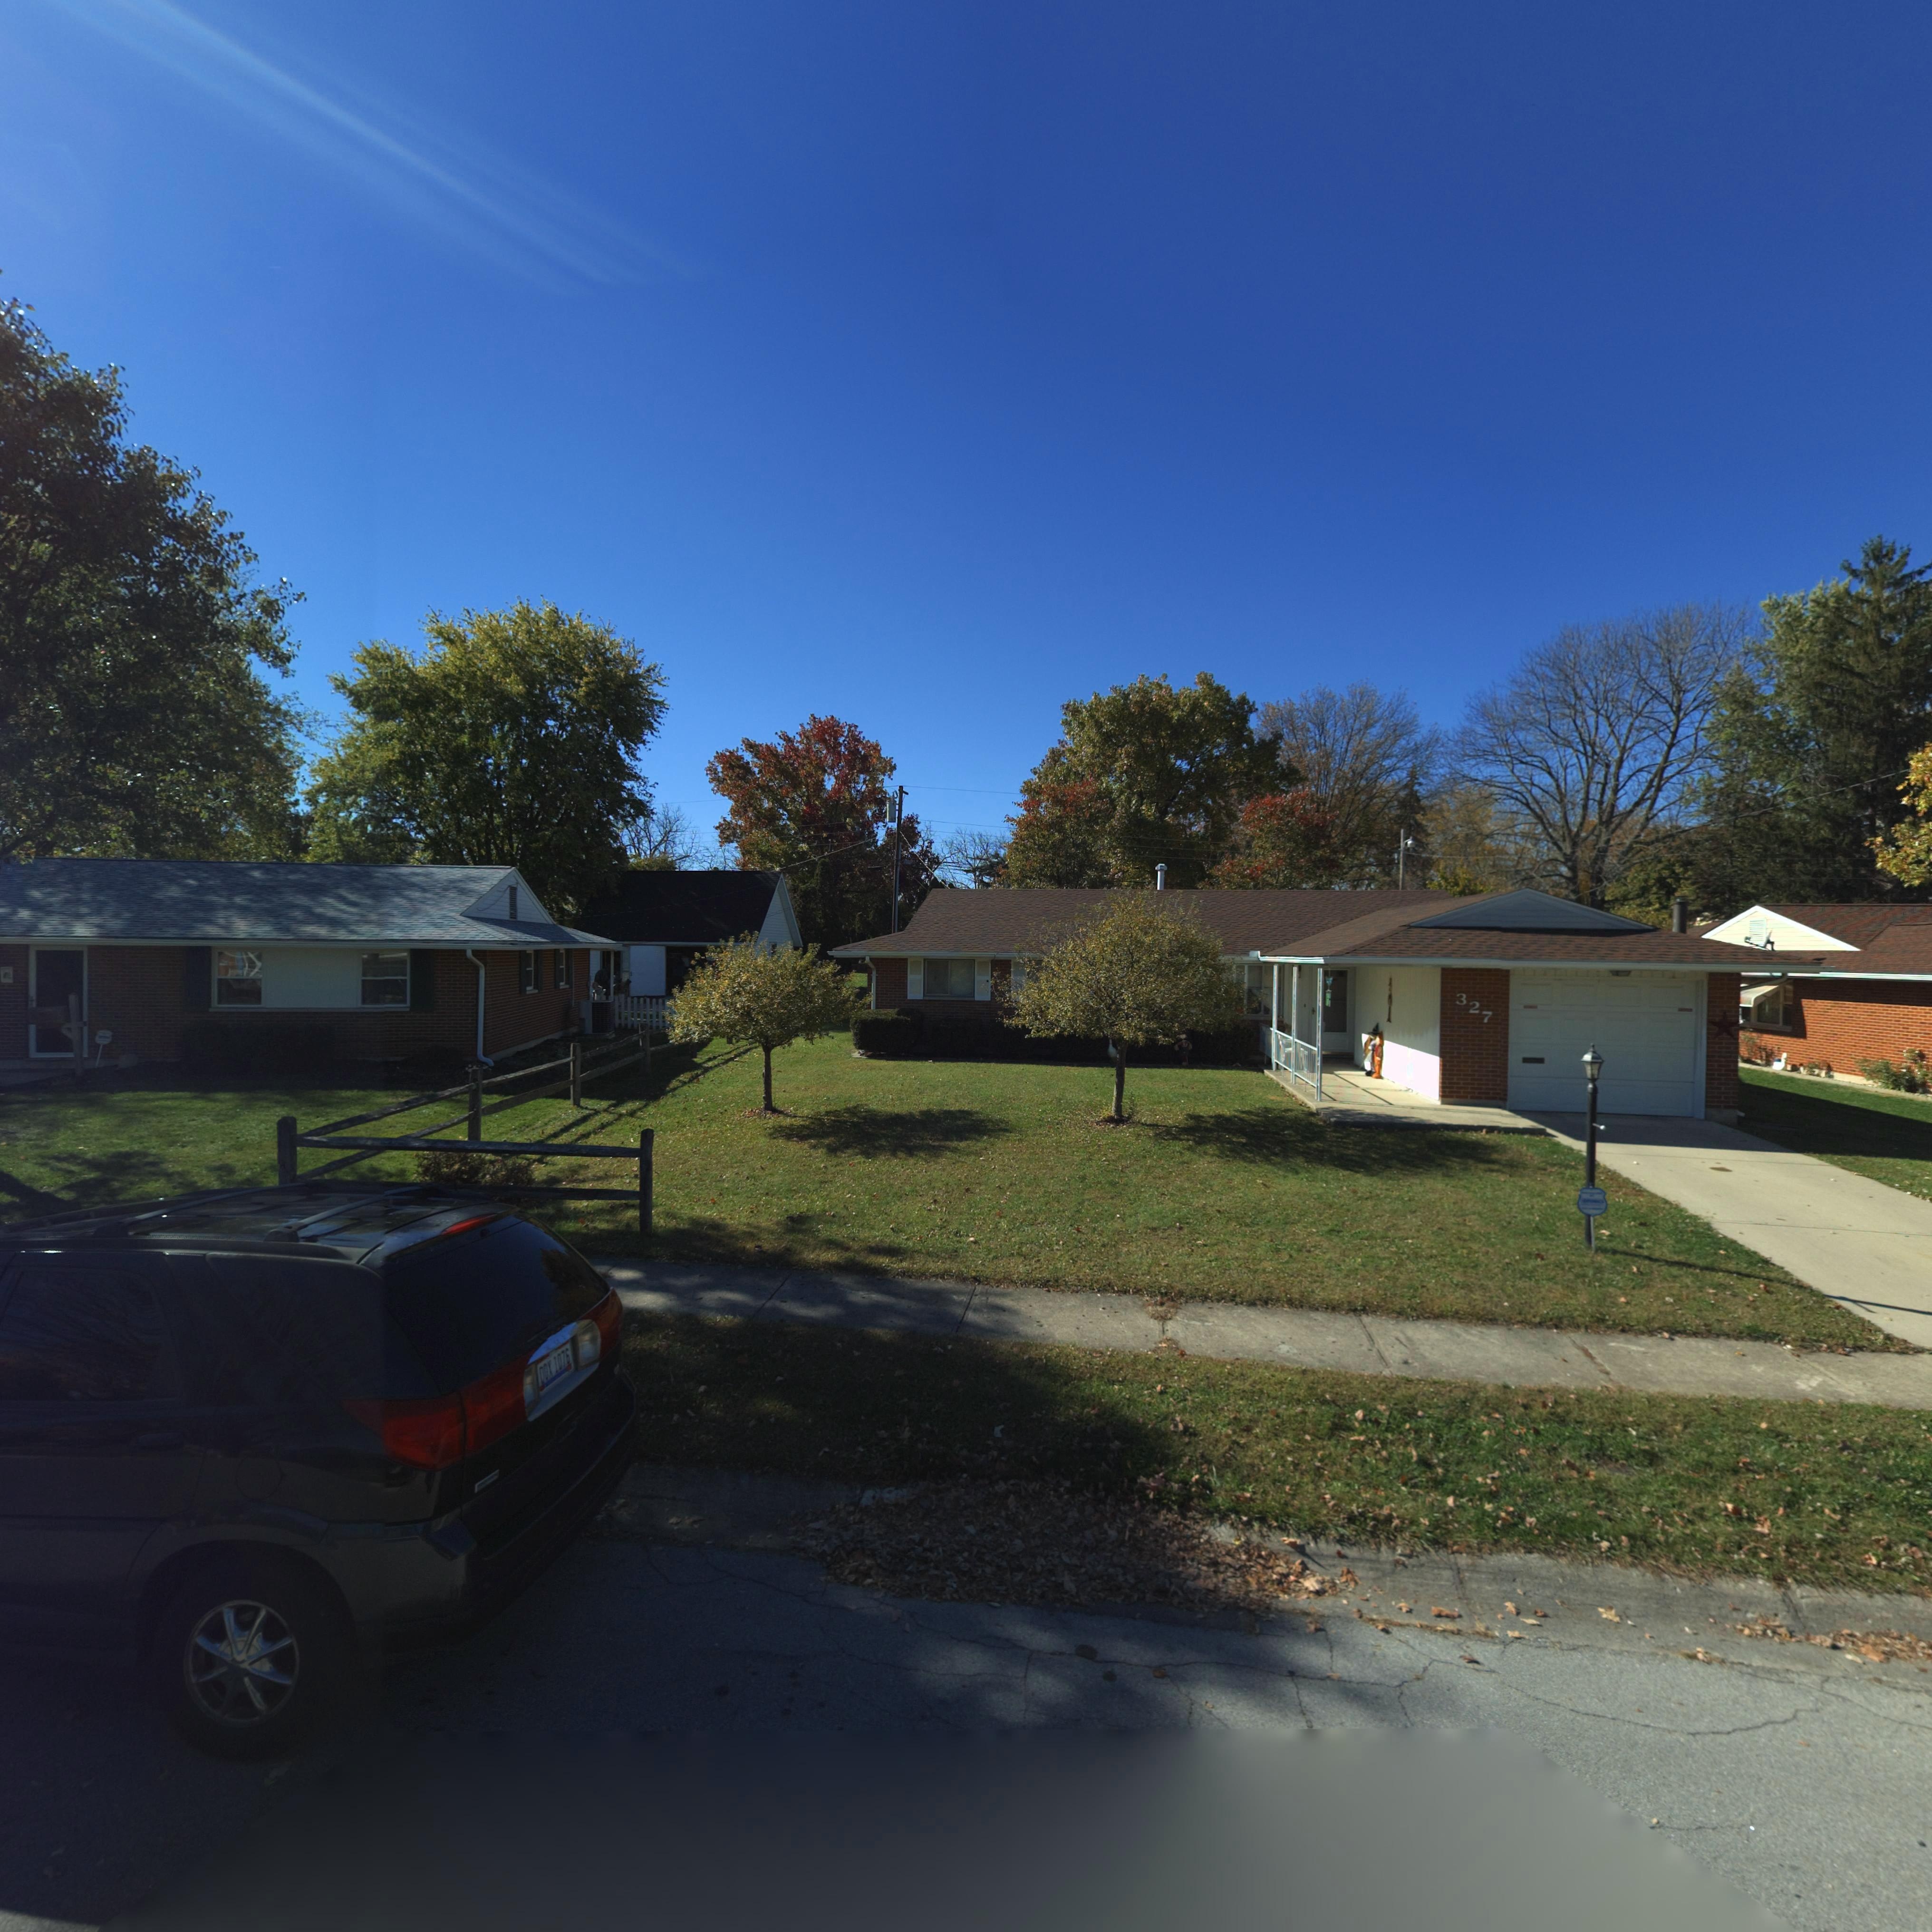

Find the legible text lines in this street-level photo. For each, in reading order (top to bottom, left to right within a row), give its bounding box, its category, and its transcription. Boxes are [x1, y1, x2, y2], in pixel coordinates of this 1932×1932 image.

[1454, 991, 1494, 1024] StreetNumber: 327